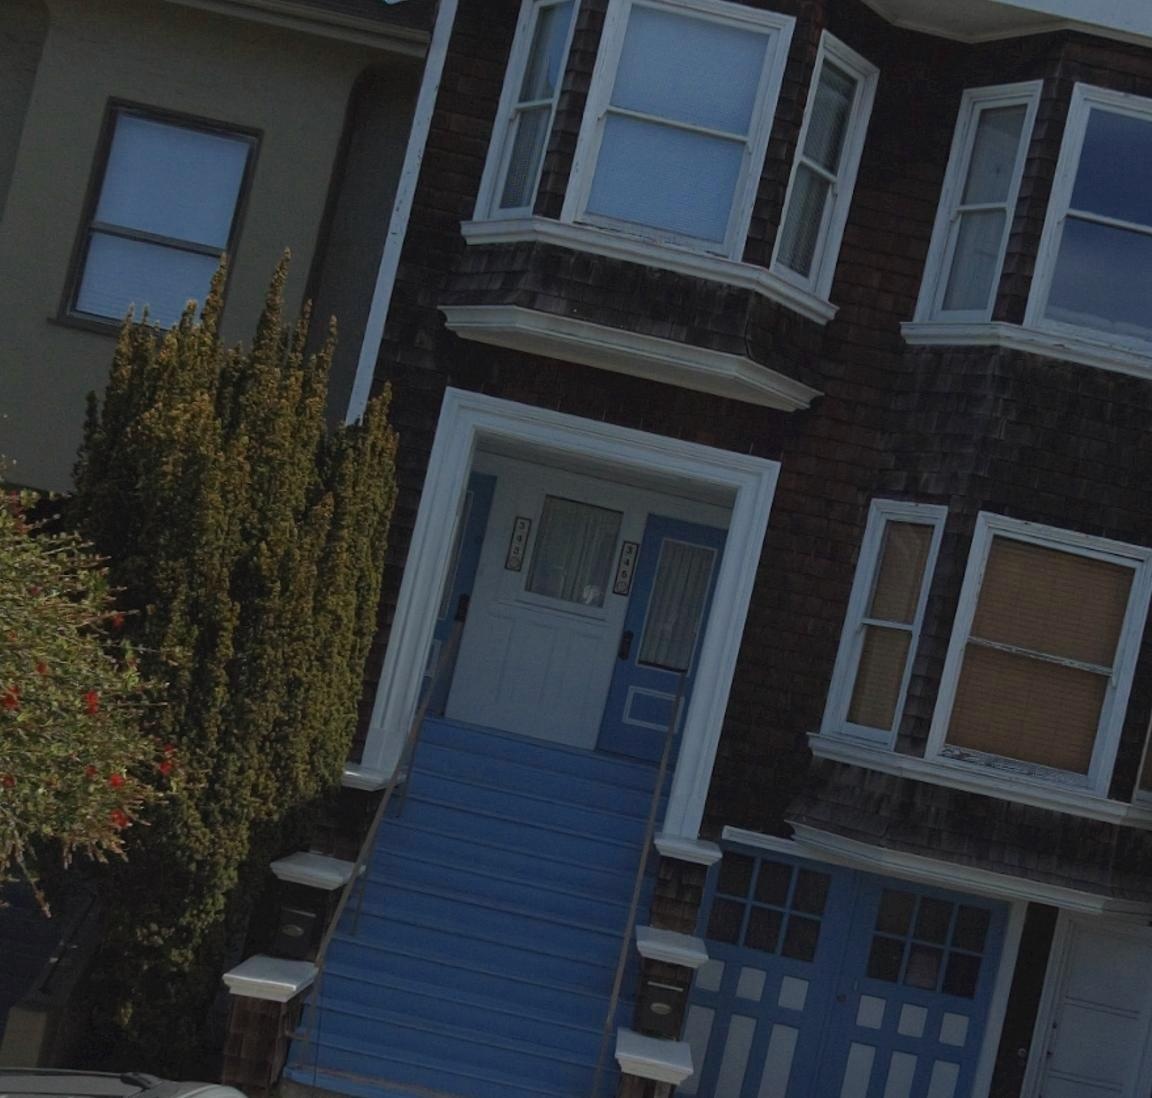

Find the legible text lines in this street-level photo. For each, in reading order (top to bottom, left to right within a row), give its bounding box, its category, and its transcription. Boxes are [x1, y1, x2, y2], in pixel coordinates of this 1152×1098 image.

[511, 520, 527, 556] StreetNumber: 343
[619, 544, 635, 580] StreetNumber: 345